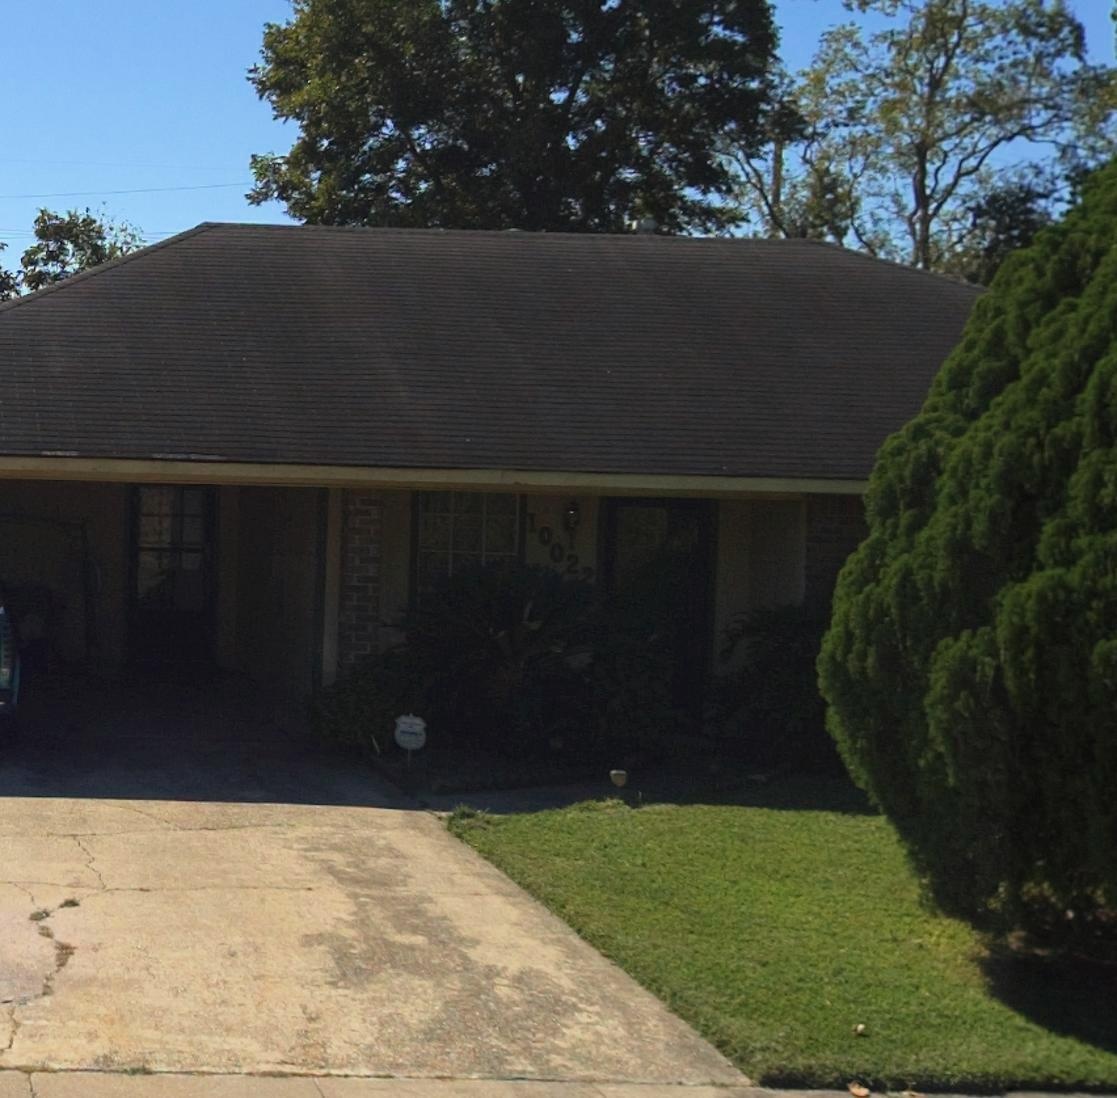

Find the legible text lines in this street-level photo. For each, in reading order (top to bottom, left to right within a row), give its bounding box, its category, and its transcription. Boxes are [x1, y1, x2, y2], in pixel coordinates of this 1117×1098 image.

[523, 512, 595, 599] StreetNumber: 10022